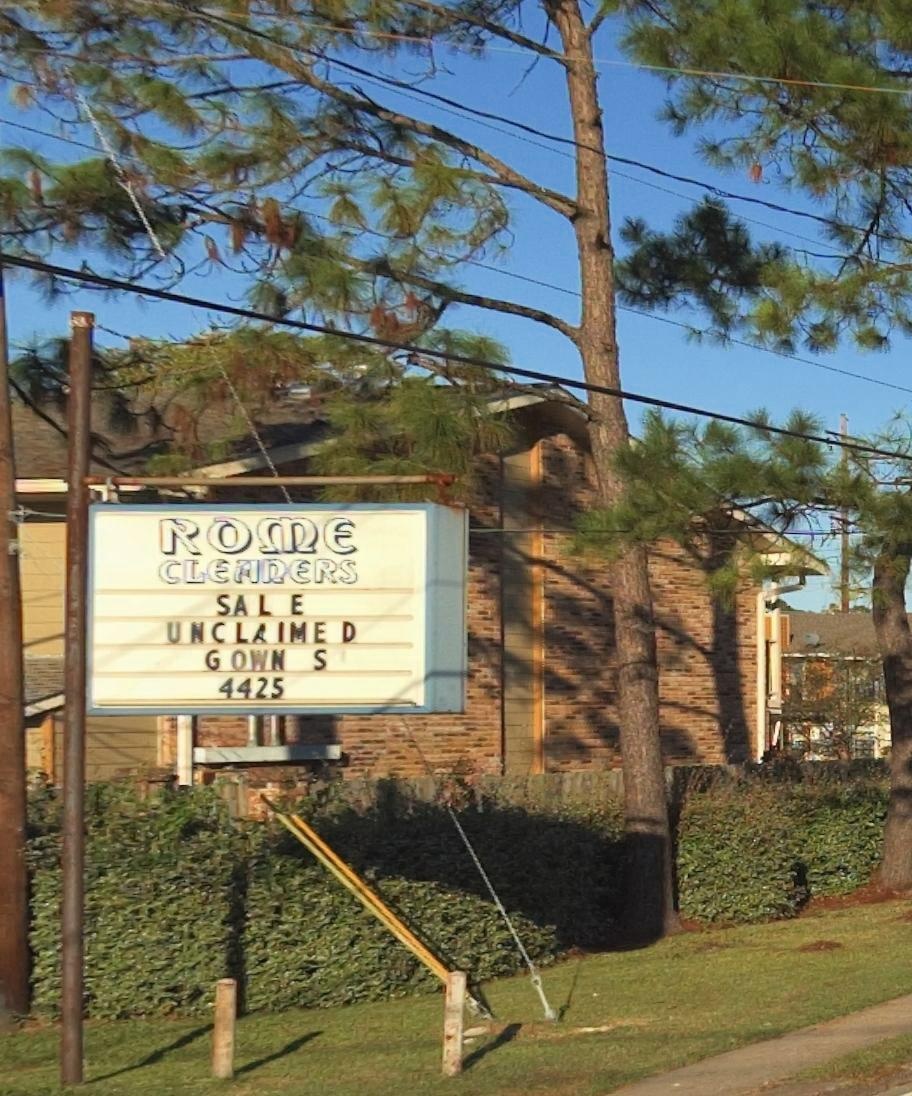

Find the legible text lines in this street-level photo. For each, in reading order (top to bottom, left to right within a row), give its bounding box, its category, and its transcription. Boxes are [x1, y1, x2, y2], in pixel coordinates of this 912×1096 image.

[160, 516, 356, 556] BusinessName: ROME
[158, 558, 359, 586] BusinessName: CLEANERS
[216, 592, 305, 617] None: SALE
[165, 620, 357, 644] None: UNCLAIMED
[203, 648, 328, 672] None: GOWNS
[217, 676, 285, 700] StreetNumber: 4425